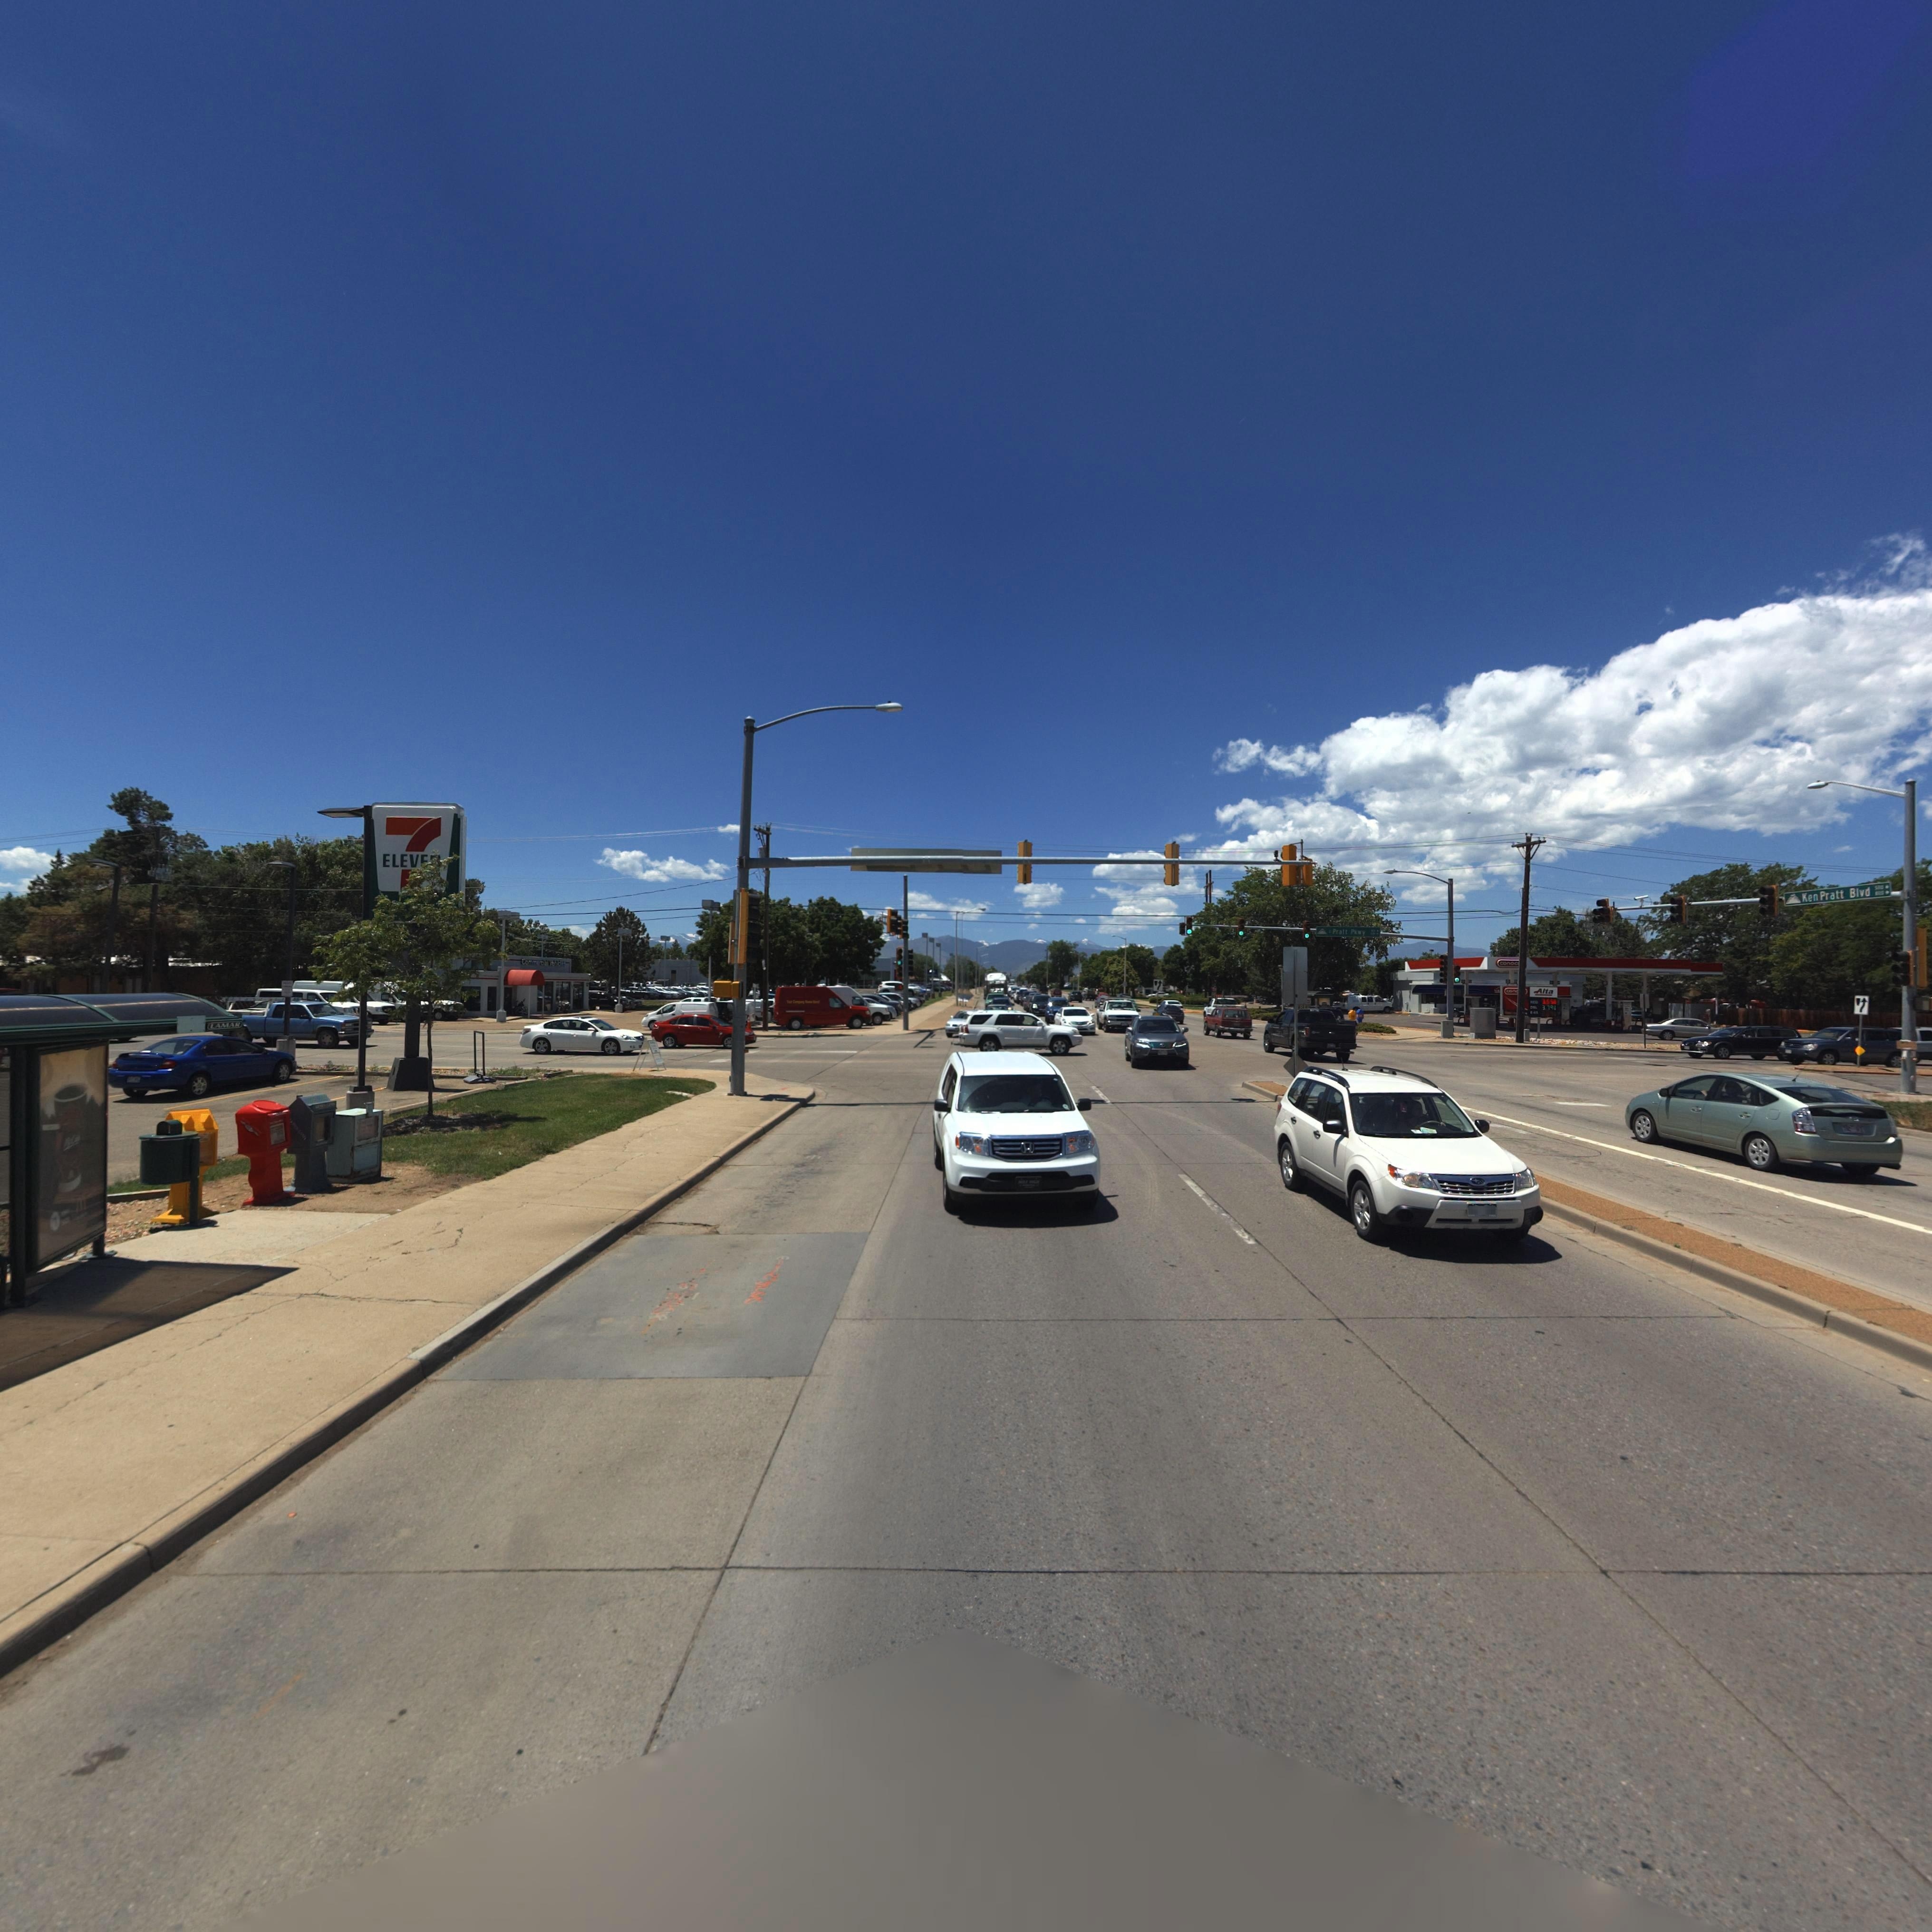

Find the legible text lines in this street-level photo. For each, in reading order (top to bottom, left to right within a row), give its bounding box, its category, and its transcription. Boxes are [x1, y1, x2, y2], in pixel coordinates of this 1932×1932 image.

[381, 852, 441, 869] BusinessName: ELEV**
[385, 815, 442, 891] BusinessName: 7
[1801, 886, 1870, 902] StreetName: Ken Pratt Blvd
[1328, 928, 1366, 937] StreetName: * Pratt Pkwy
[1499, 961, 1519, 965] BusinessName: conoc*
[1506, 989, 1518, 993] BusinessName: con*